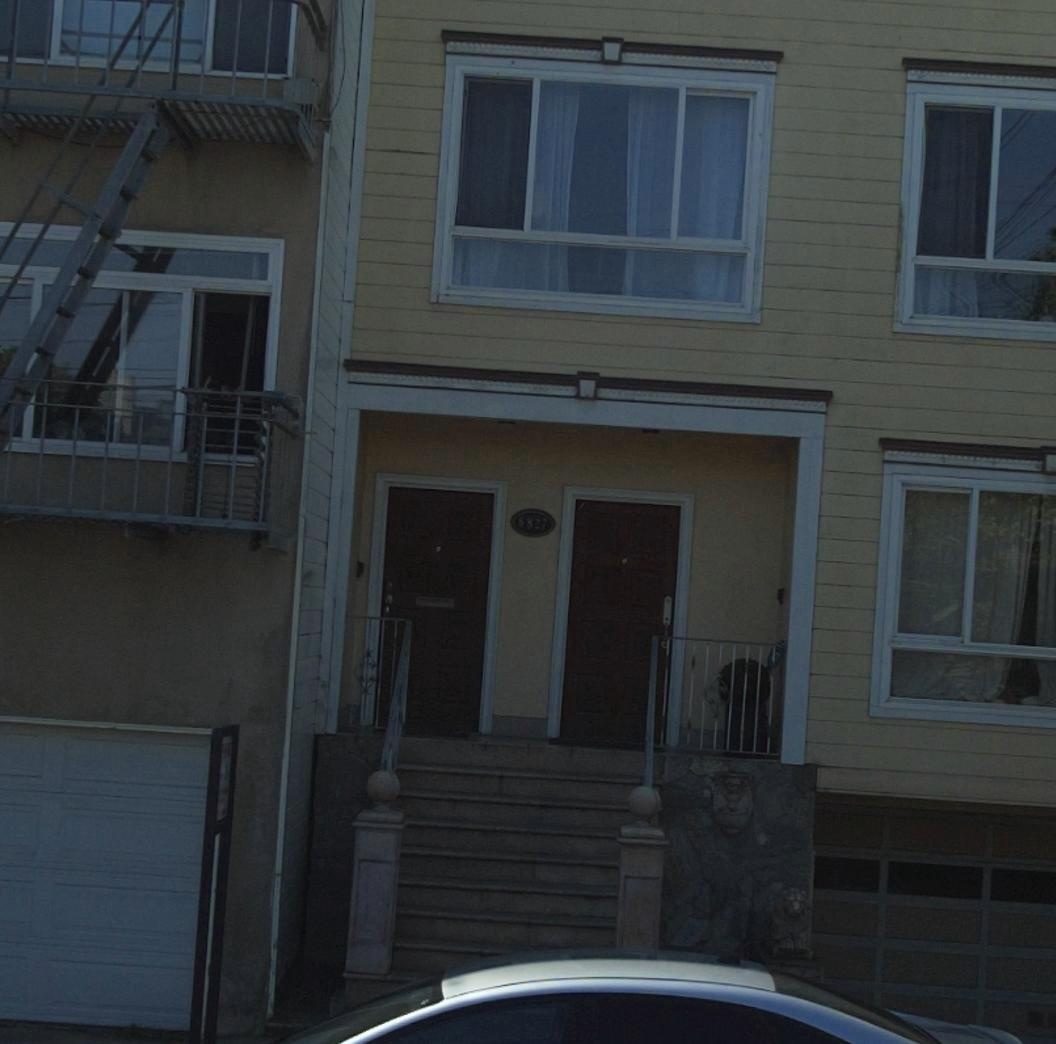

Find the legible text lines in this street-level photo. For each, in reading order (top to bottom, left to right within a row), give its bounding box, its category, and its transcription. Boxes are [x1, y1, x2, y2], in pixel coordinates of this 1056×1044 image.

[516, 515, 549, 531] StreetNumber: 6827